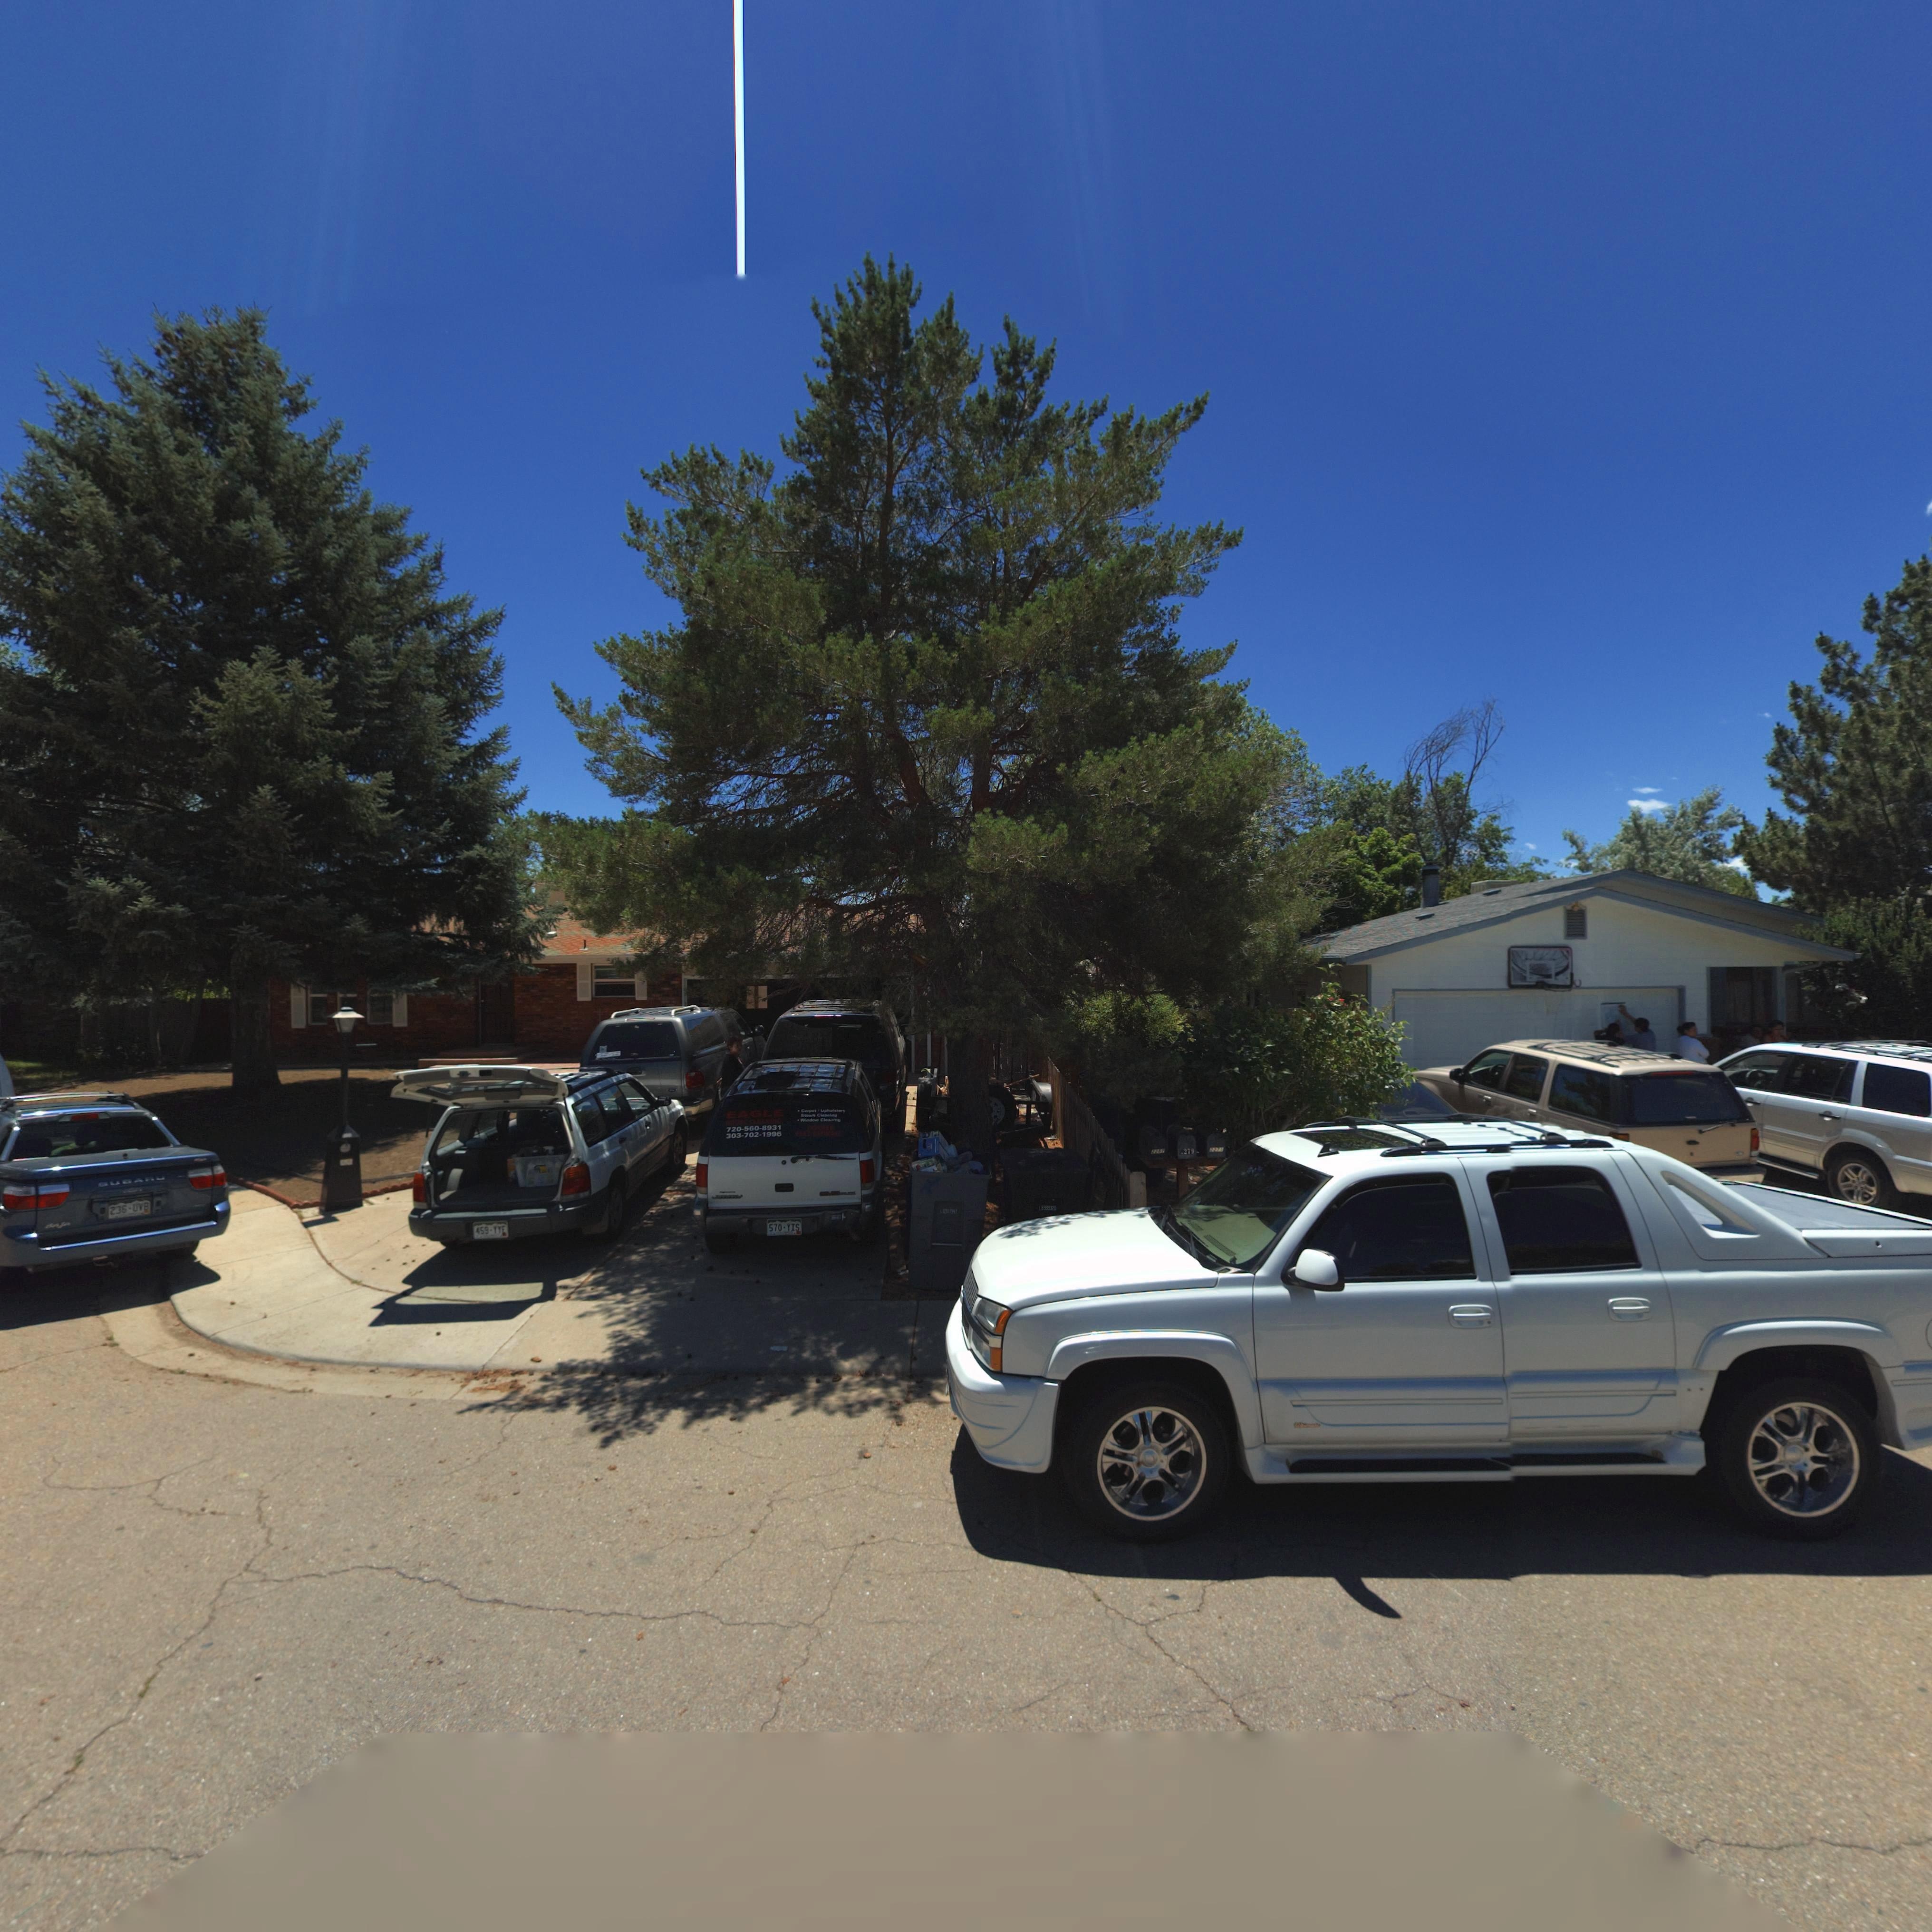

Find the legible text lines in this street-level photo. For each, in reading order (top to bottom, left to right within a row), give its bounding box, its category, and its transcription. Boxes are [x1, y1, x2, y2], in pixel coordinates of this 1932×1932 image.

[1151, 1148, 1165, 1154] StreetNumber: 2287
[1179, 1148, 1194, 1155] StreetNumber: *279
[1210, 1147, 1223, 1152] StreetNumber: 2271